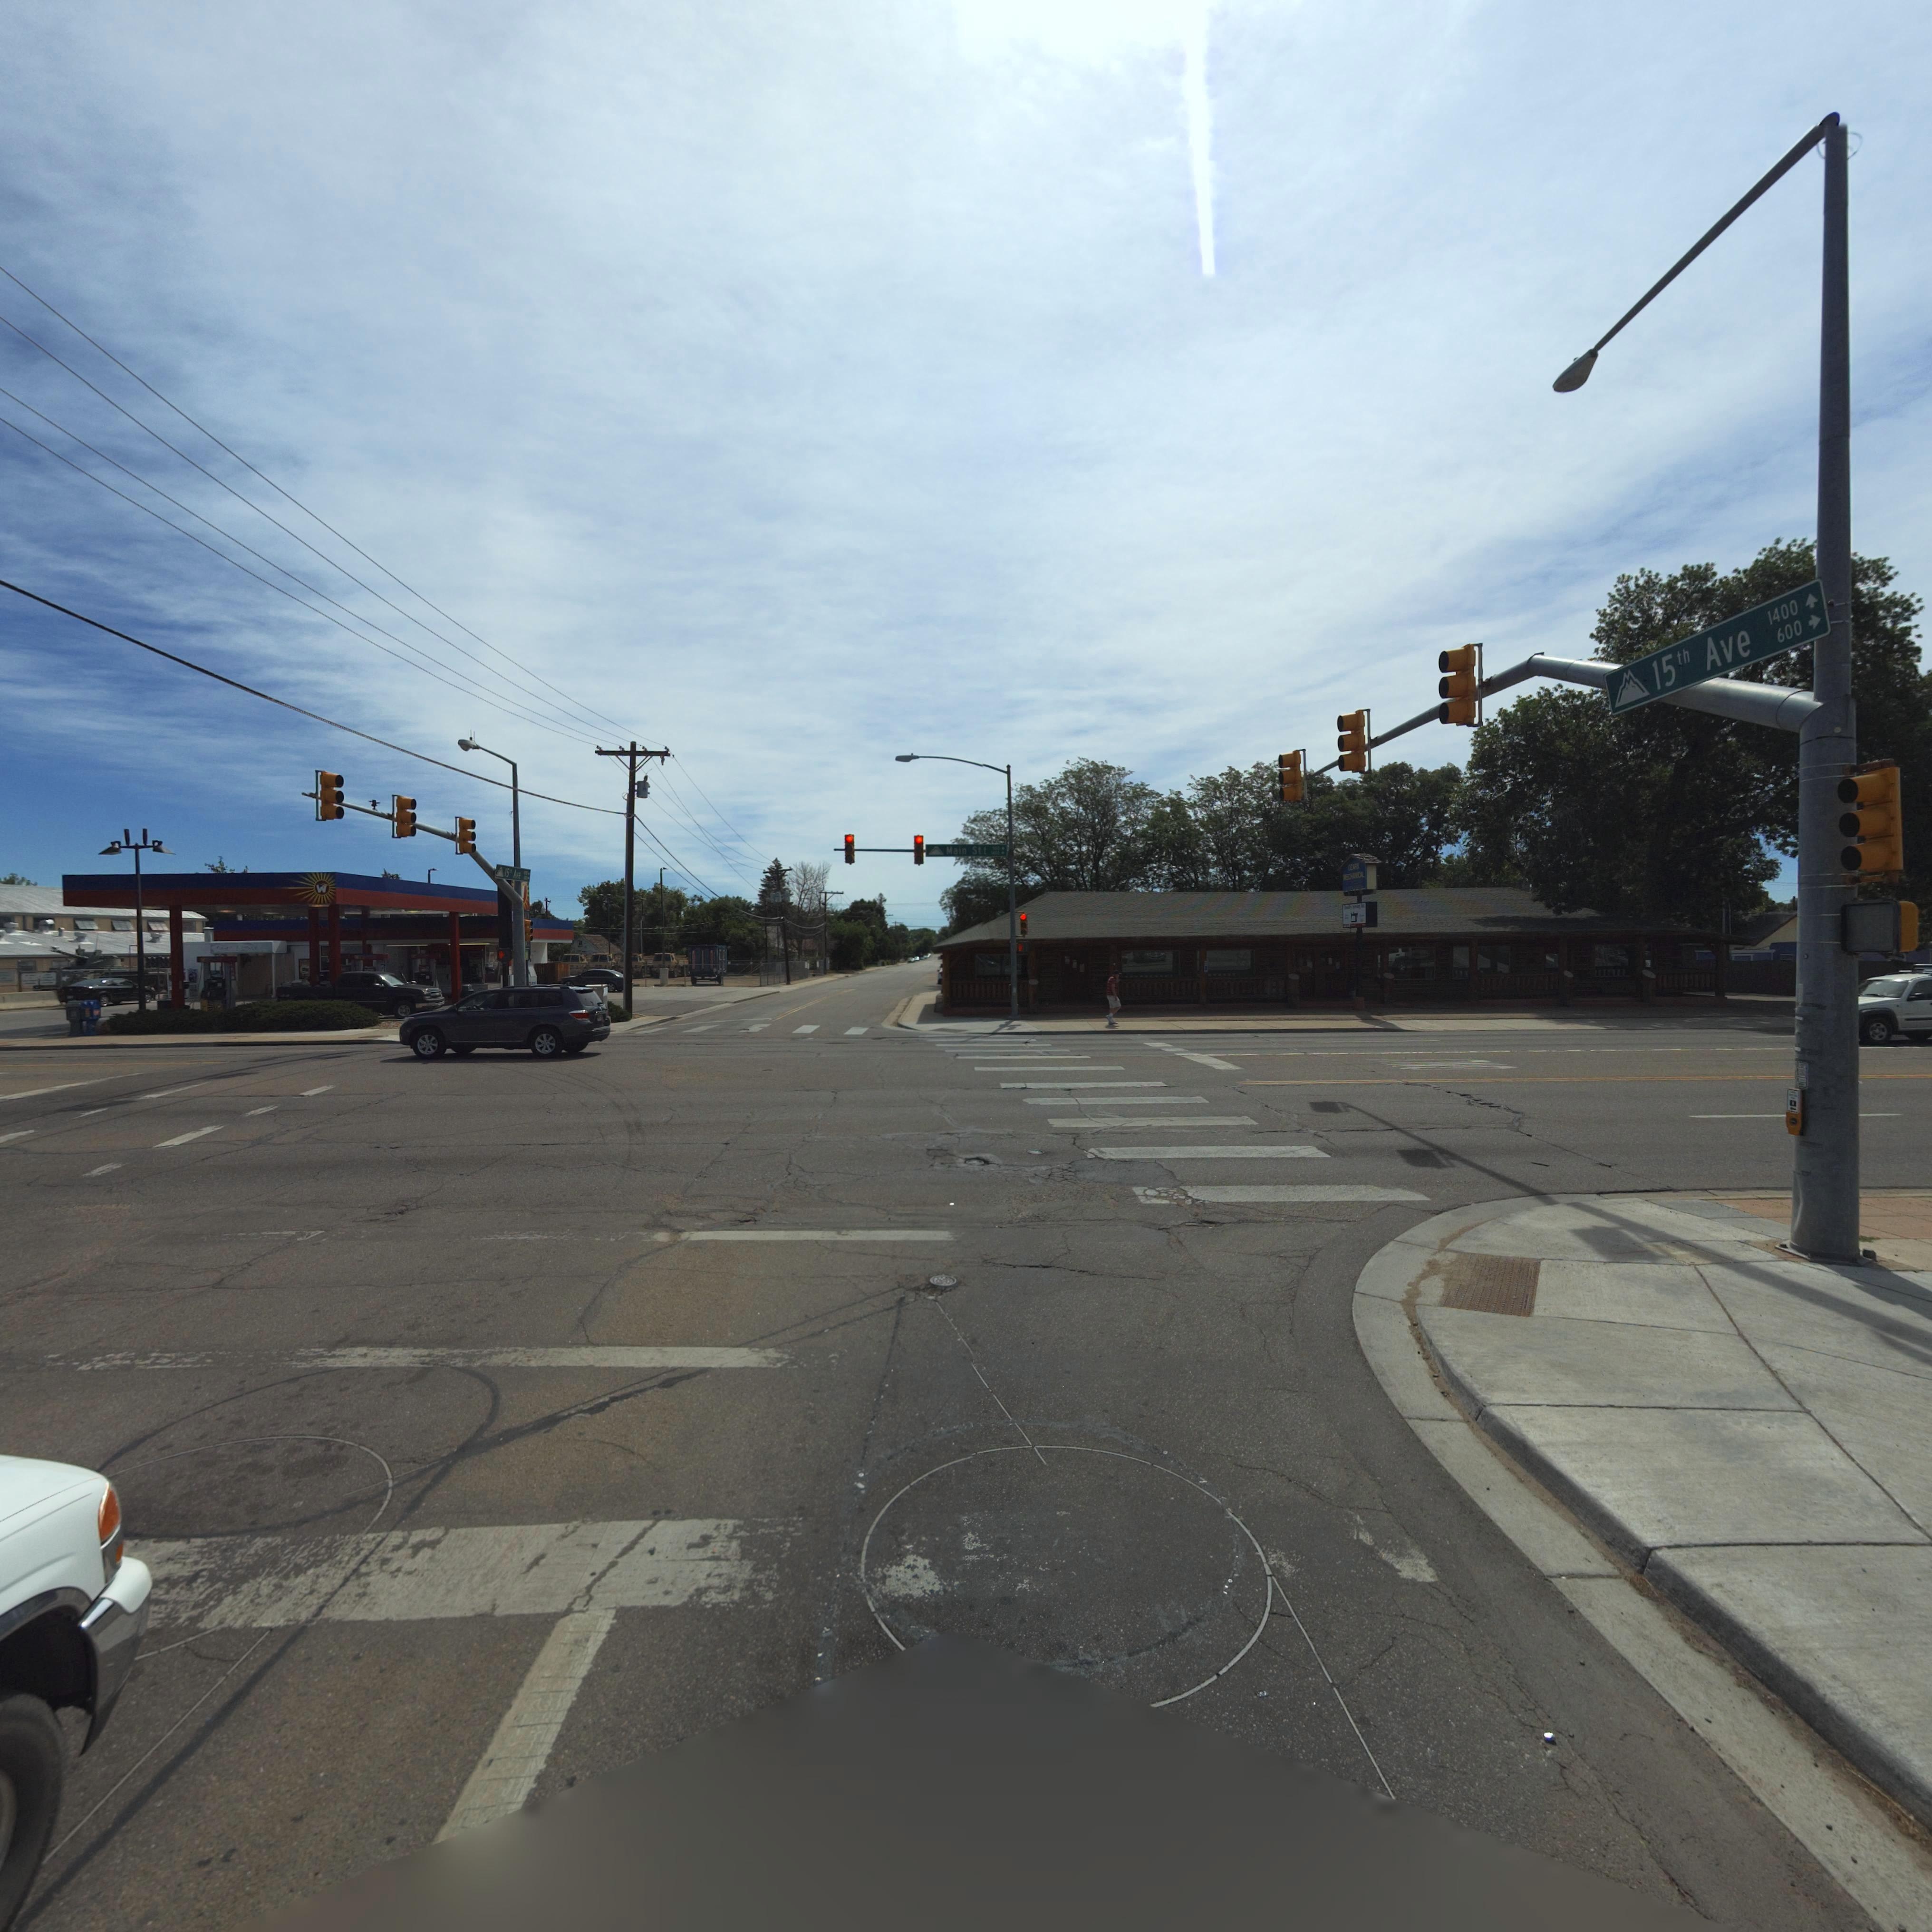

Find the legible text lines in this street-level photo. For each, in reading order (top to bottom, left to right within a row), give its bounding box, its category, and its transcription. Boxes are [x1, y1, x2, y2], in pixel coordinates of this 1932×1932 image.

[1766, 599, 1798, 627] StreetNumberRange: 1400
[1776, 613, 1823, 644] StreetName: 600->
[1651, 629, 1752, 692] StreetName: 15th Ave
[946, 845, 987, 855] StreetName: Main Stt
[992, 846, 1000, 850] StreetNumberRange: 500
[990, 850, 1005, 855] StreetNumberRange: 1400->
[1347, 862, 1360, 871] BusinessName: OE*RK
[504, 868, 521, 879] StreetName: 15** Ave
[1342, 871, 1365, 881] BusinessName: MECHANICAL
[315, 885, 327, 893] BusinessName: W
[1343, 903, 1365, 910] BusinessName: Q****** S******* INC